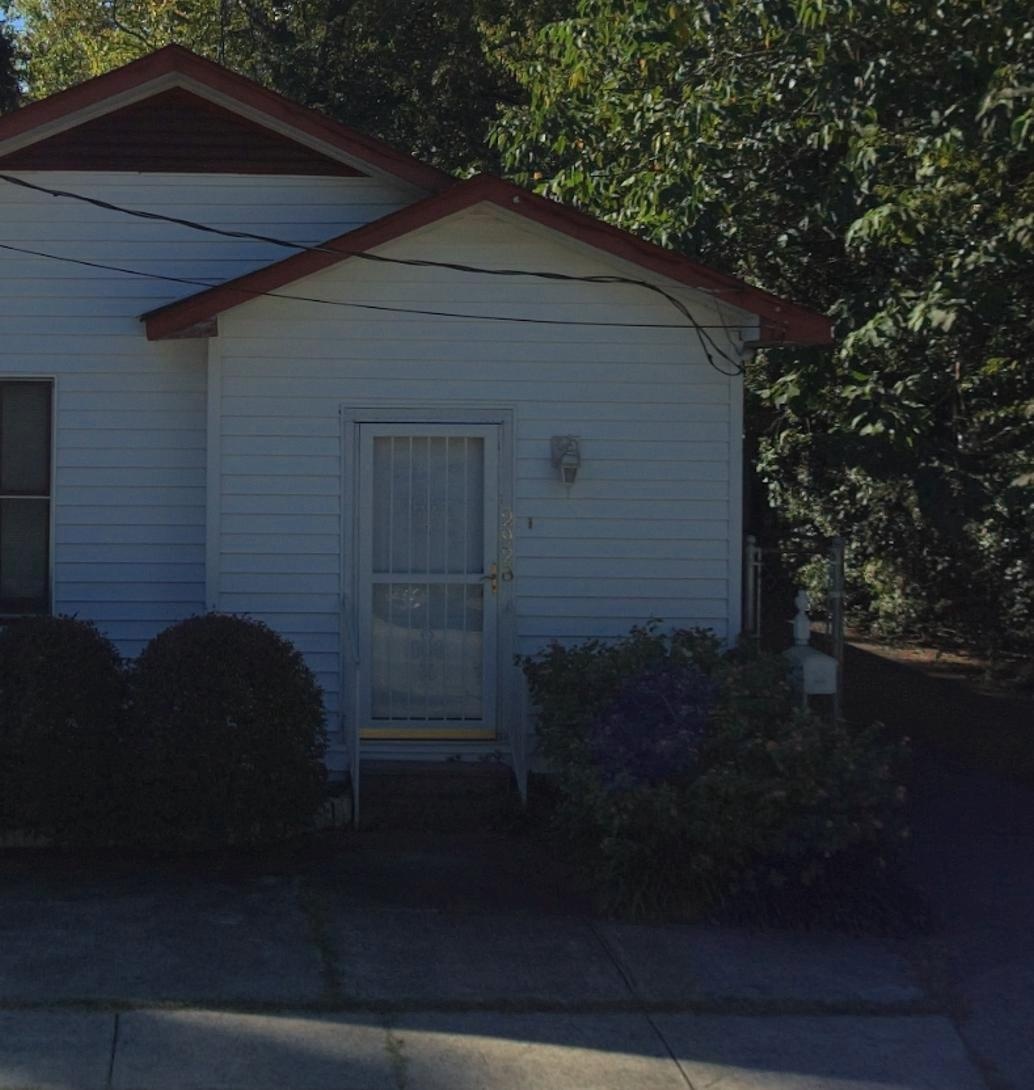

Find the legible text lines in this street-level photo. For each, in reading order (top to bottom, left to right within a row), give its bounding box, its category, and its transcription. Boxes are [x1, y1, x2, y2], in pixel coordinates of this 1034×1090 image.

[498, 507, 516, 584] StreetNumber: 2928